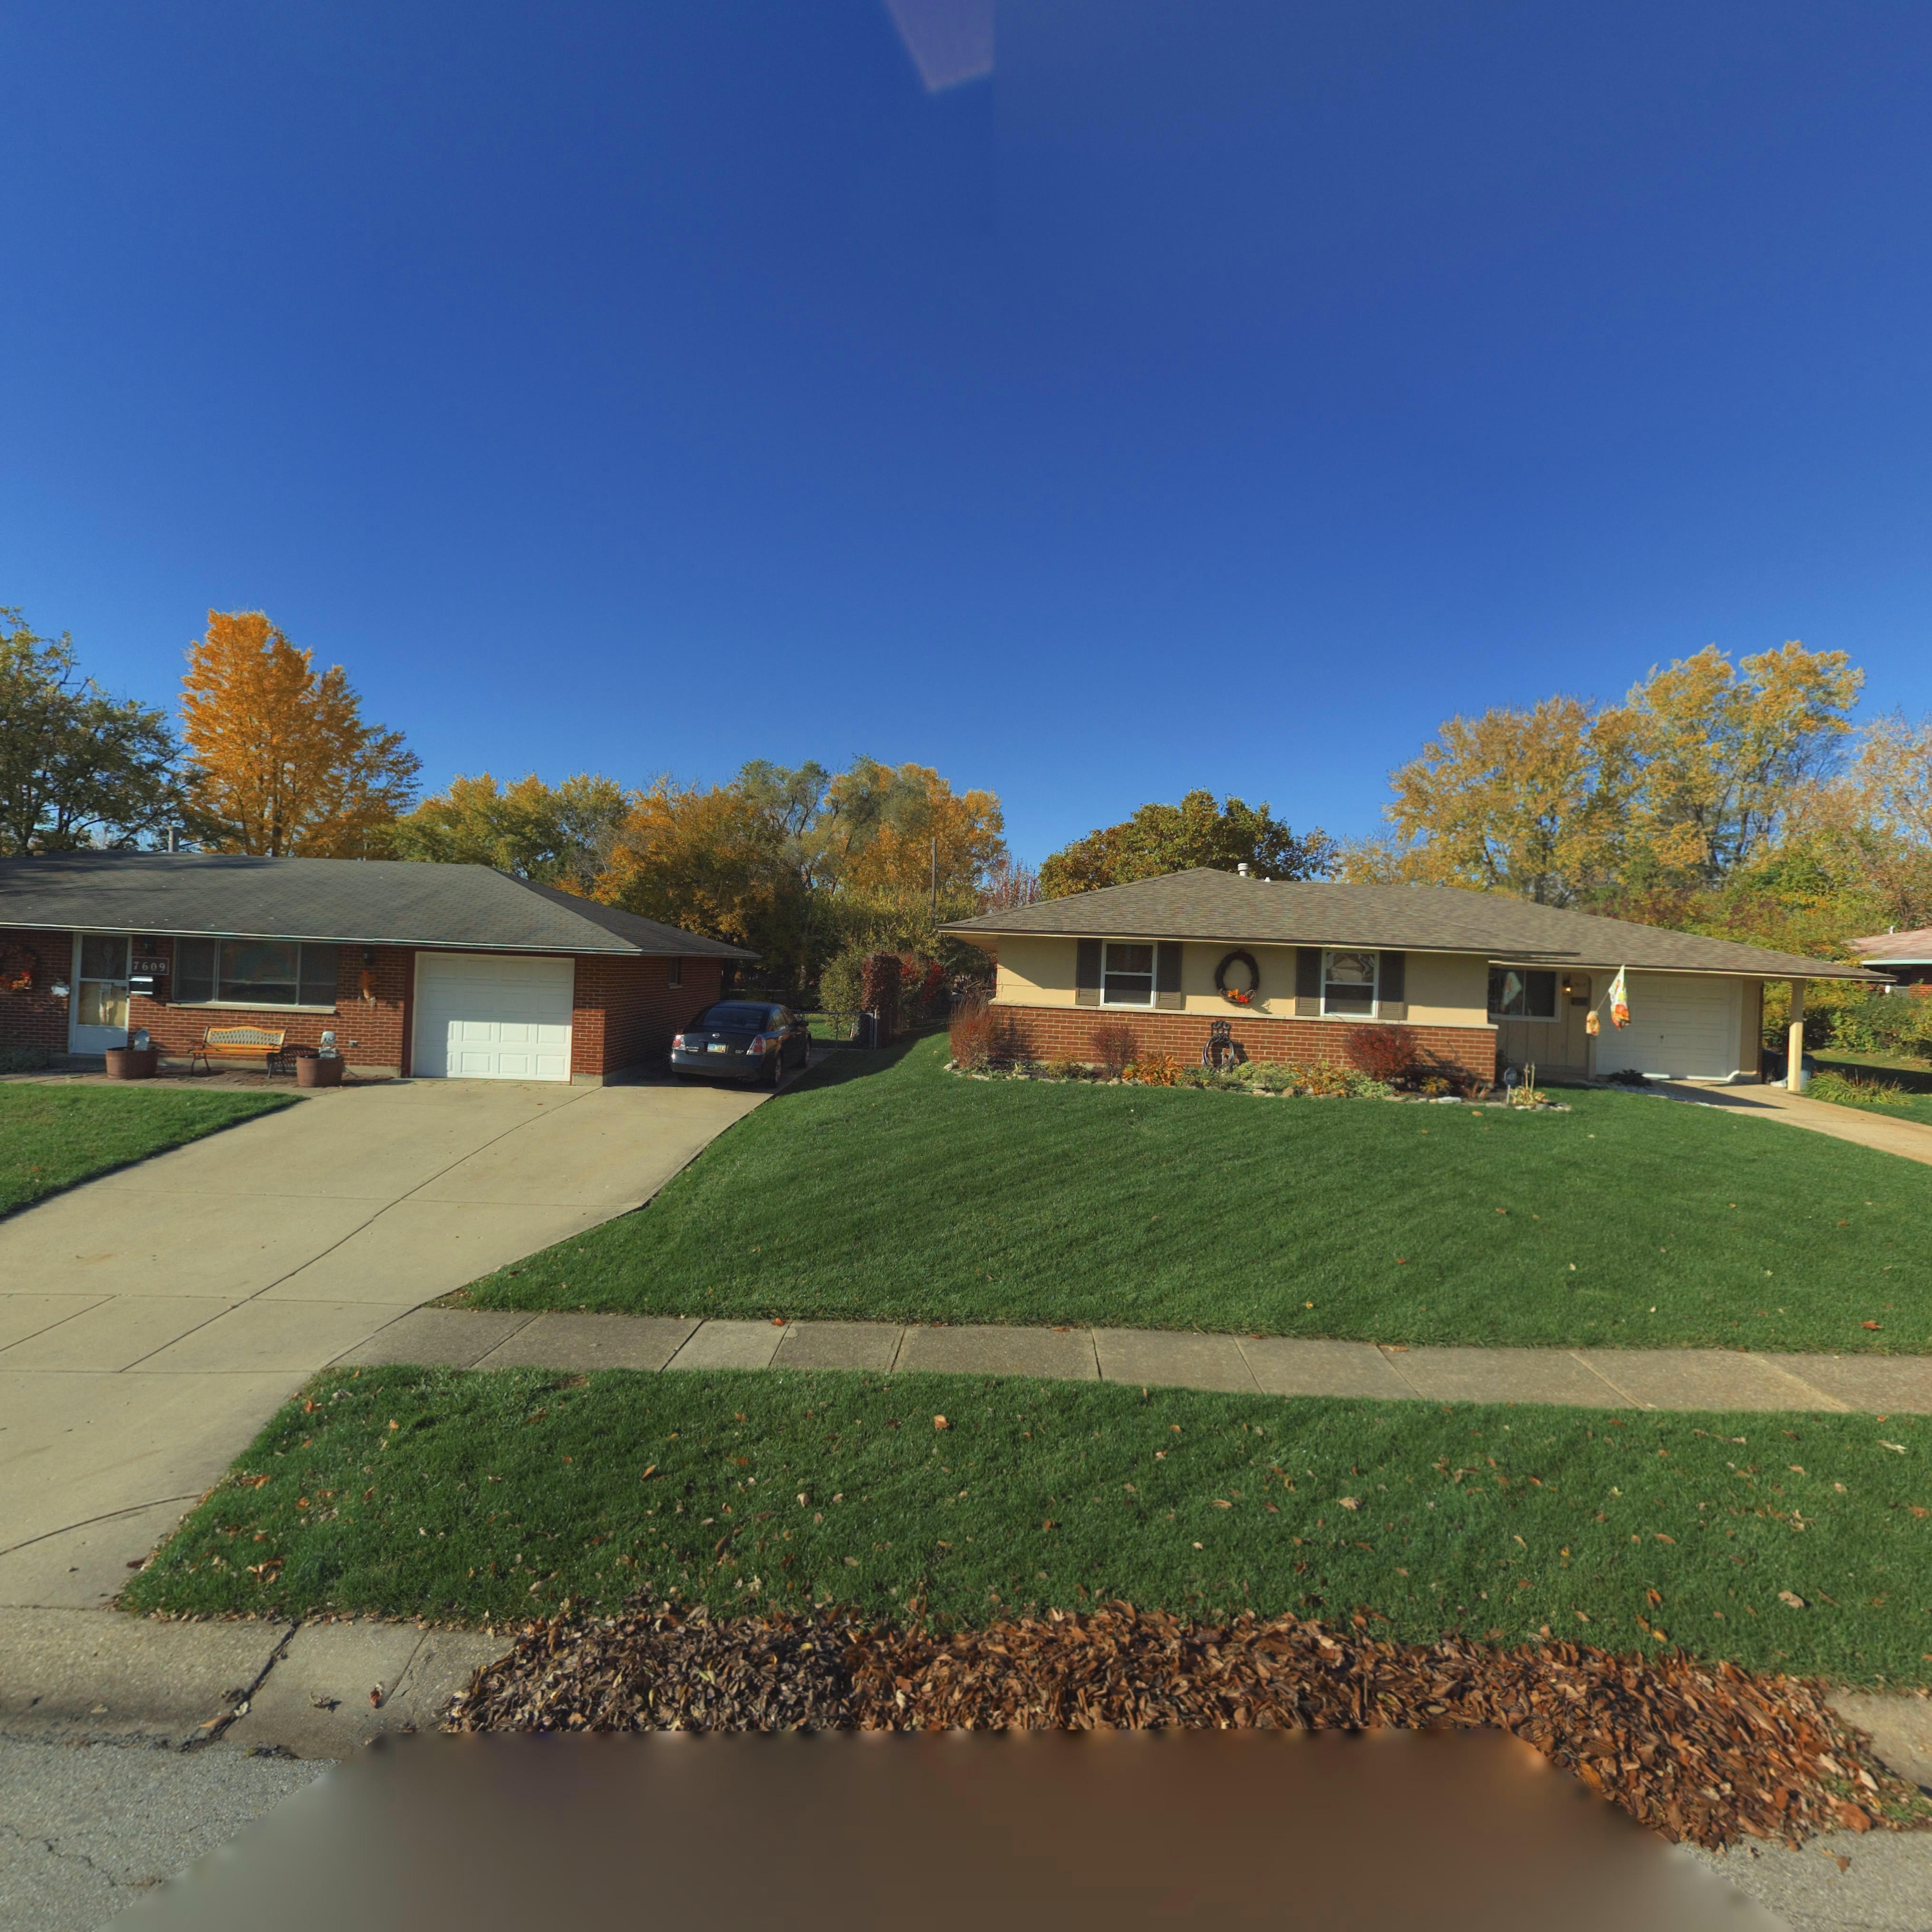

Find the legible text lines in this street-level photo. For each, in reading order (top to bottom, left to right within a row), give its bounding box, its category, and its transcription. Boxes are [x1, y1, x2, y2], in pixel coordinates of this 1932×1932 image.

[132, 960, 166, 973] StreetNumber: 7609